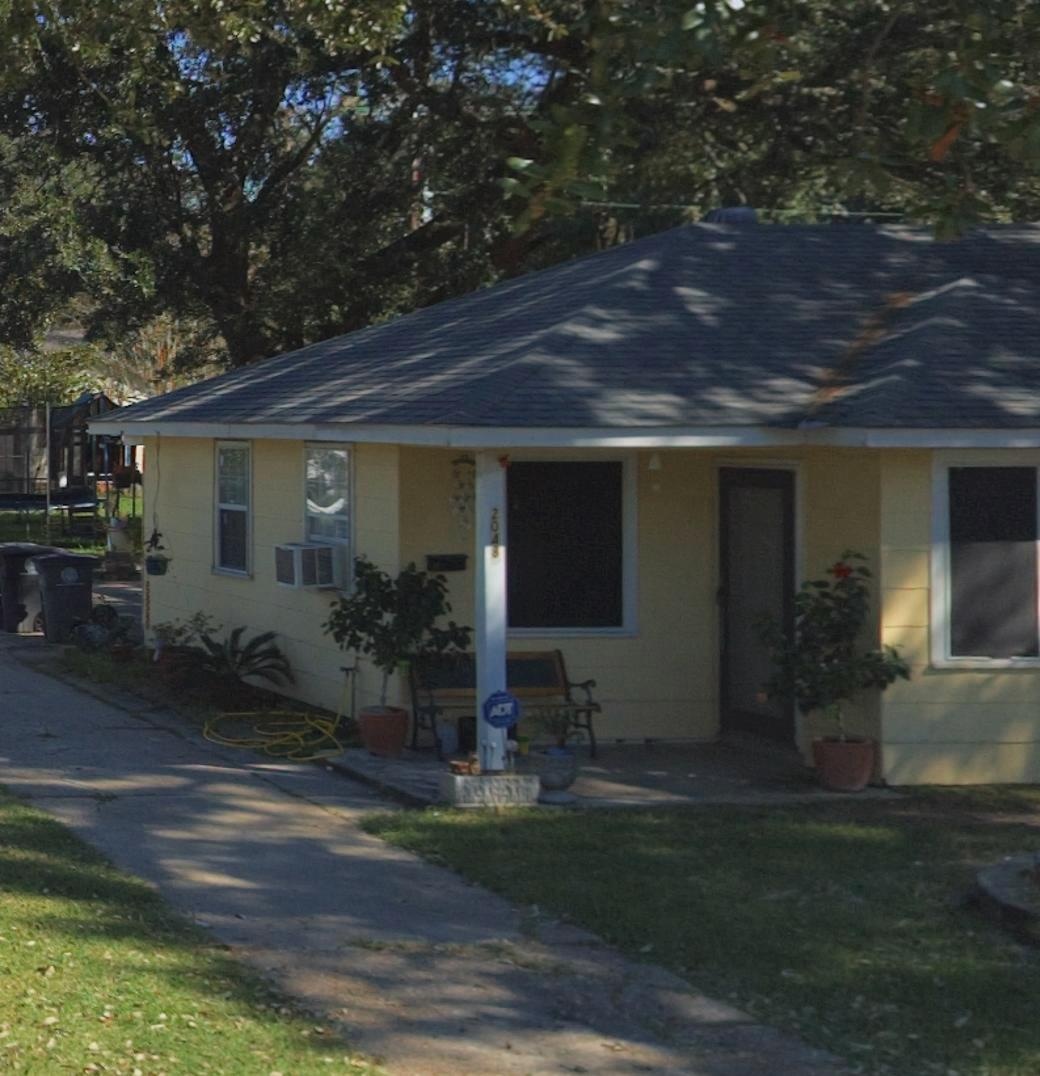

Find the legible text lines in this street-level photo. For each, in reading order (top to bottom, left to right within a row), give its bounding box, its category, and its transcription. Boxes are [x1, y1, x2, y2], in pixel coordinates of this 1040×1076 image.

[490, 506, 500, 560] StreetNumber: 2048
[488, 701, 515, 719] None: ADT